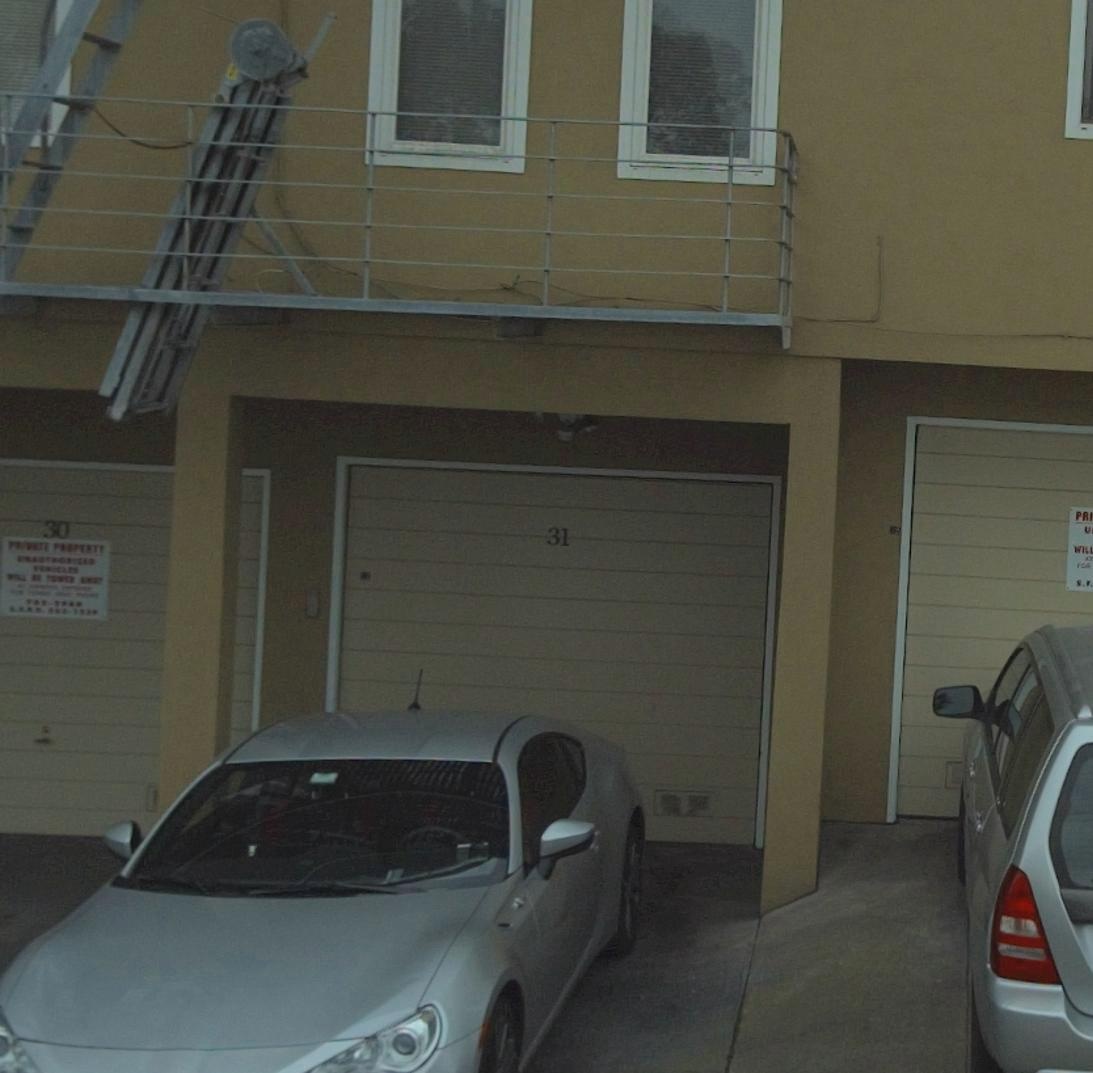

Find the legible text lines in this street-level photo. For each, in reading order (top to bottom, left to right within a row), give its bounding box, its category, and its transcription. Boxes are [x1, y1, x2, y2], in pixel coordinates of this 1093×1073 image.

[1074, 510, 1090, 522] None: PR
[41, 518, 72, 541] StreetNumber: 30
[546, 525, 571, 548] StreetNumber: 31
[1083, 525, 1092, 536] None: U
[7, 539, 107, 556] None: PRIVATE PROPERTY
[1072, 544, 1093, 557] None: WILL
[14, 553, 97, 567] None: UNAUTHORIZED
[30, 564, 81, 574] None: VEHICLES
[6, 573, 103, 586] None: WILL BE TOWED AWAY